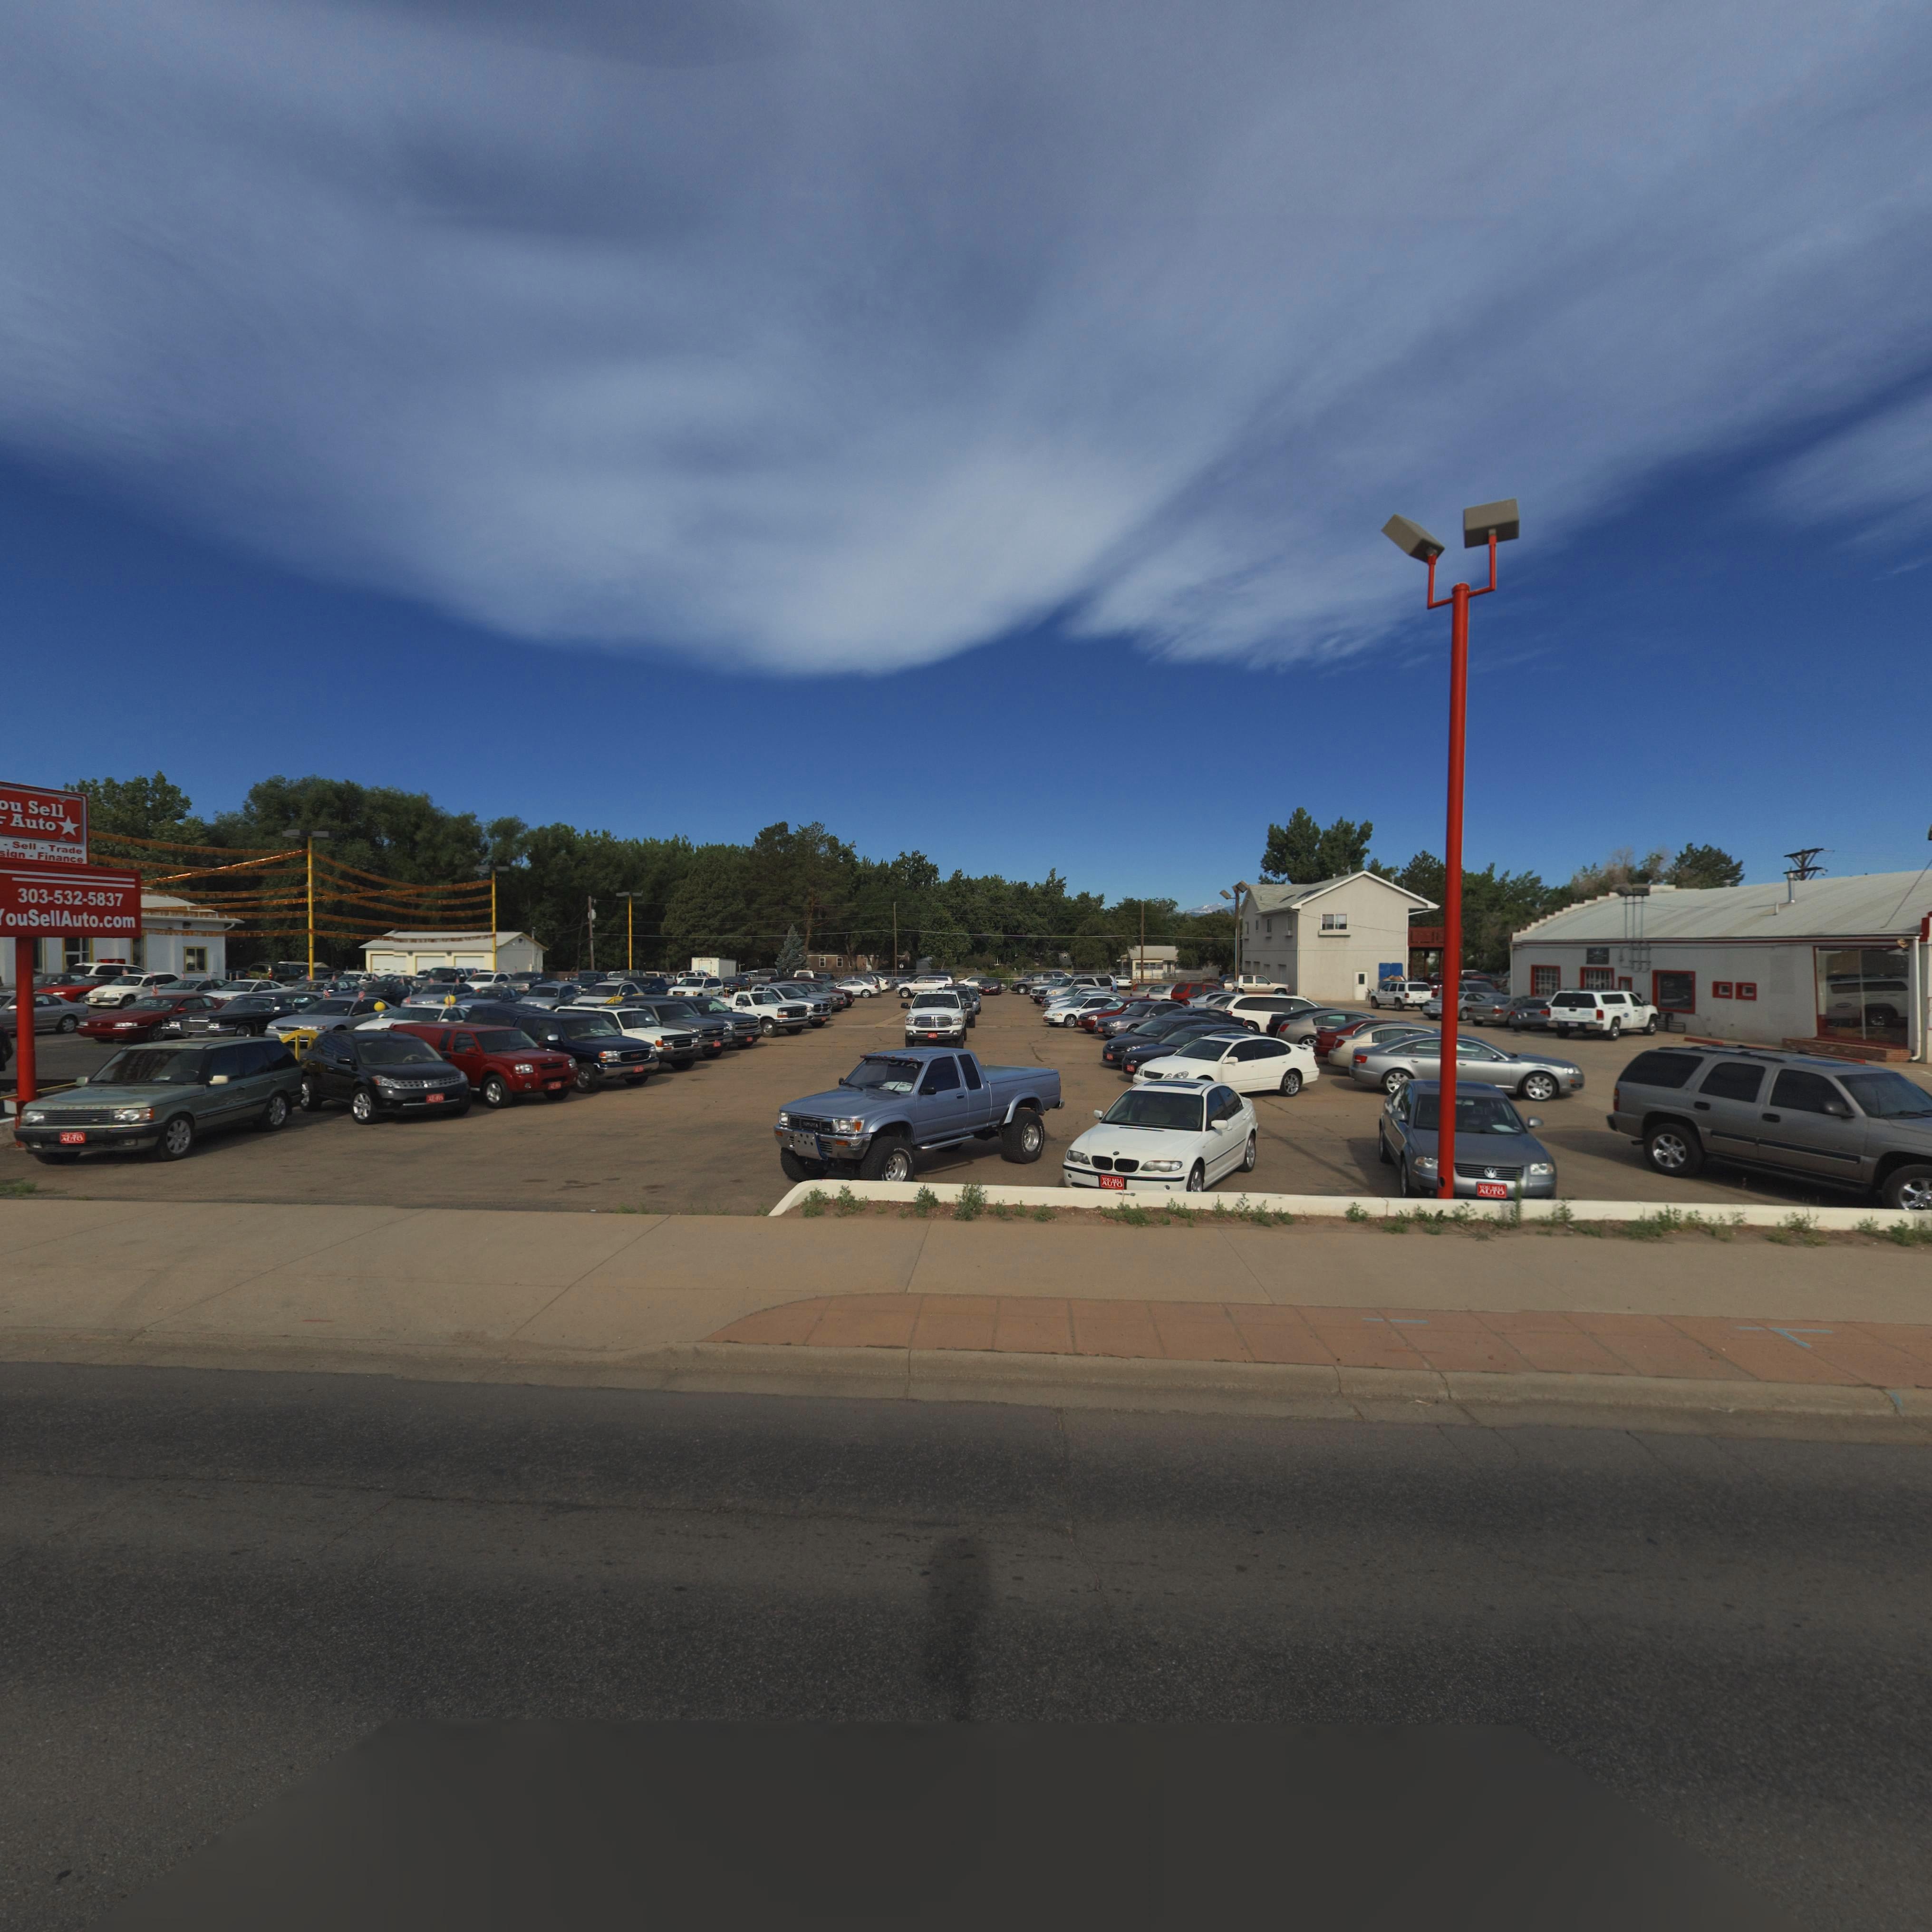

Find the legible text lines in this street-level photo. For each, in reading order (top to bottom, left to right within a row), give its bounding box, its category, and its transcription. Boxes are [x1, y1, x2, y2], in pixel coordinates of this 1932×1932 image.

[0, 800, 65, 818] BusinessName: ou Sell
[10, 813, 57, 831] BusinessName: Auto